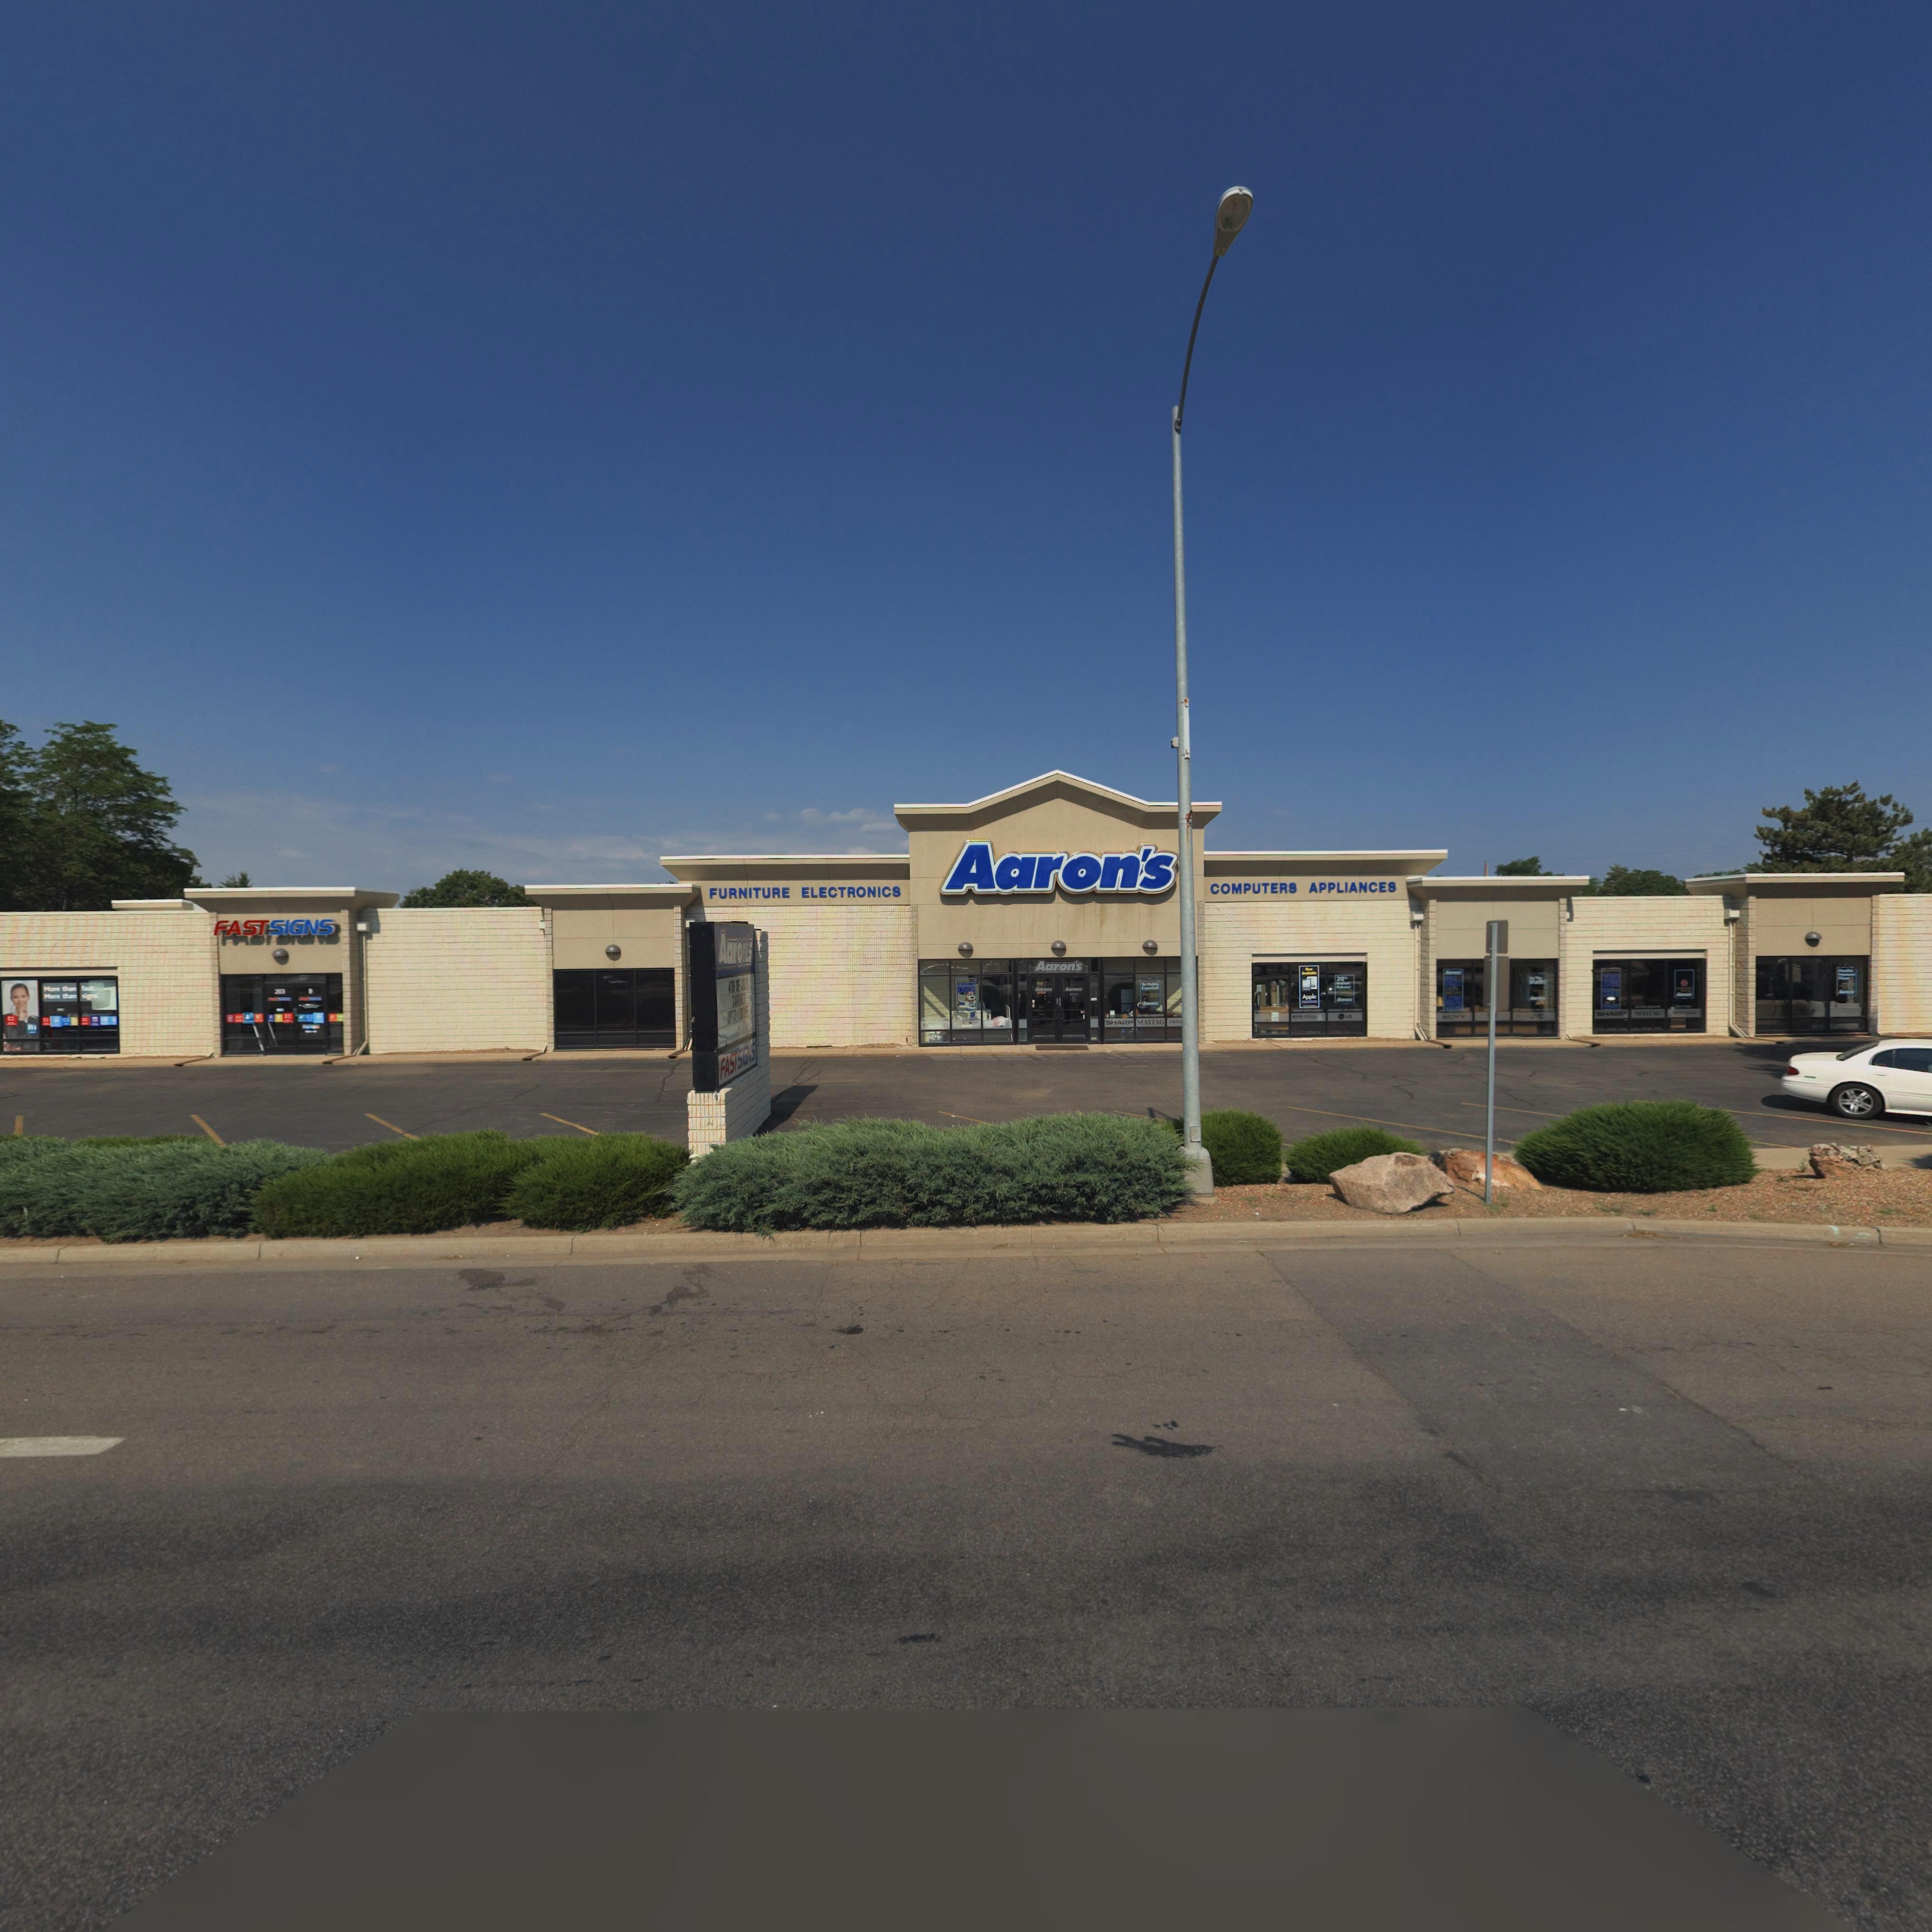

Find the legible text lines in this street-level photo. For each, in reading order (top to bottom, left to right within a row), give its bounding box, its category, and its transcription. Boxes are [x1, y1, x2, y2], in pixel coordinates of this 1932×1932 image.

[937, 837, 1179, 896] BusinessName: Aaron's
[213, 918, 336, 936] BusinessName: FASTSIGNS
[716, 929, 754, 968] BusinessName: Aarons
[1034, 959, 1084, 972] BusinessName: Aaron's
[274, 988, 286, 995] StreetNumber: 203
[719, 1040, 756, 1082] BusinessName: FASTSIG*S